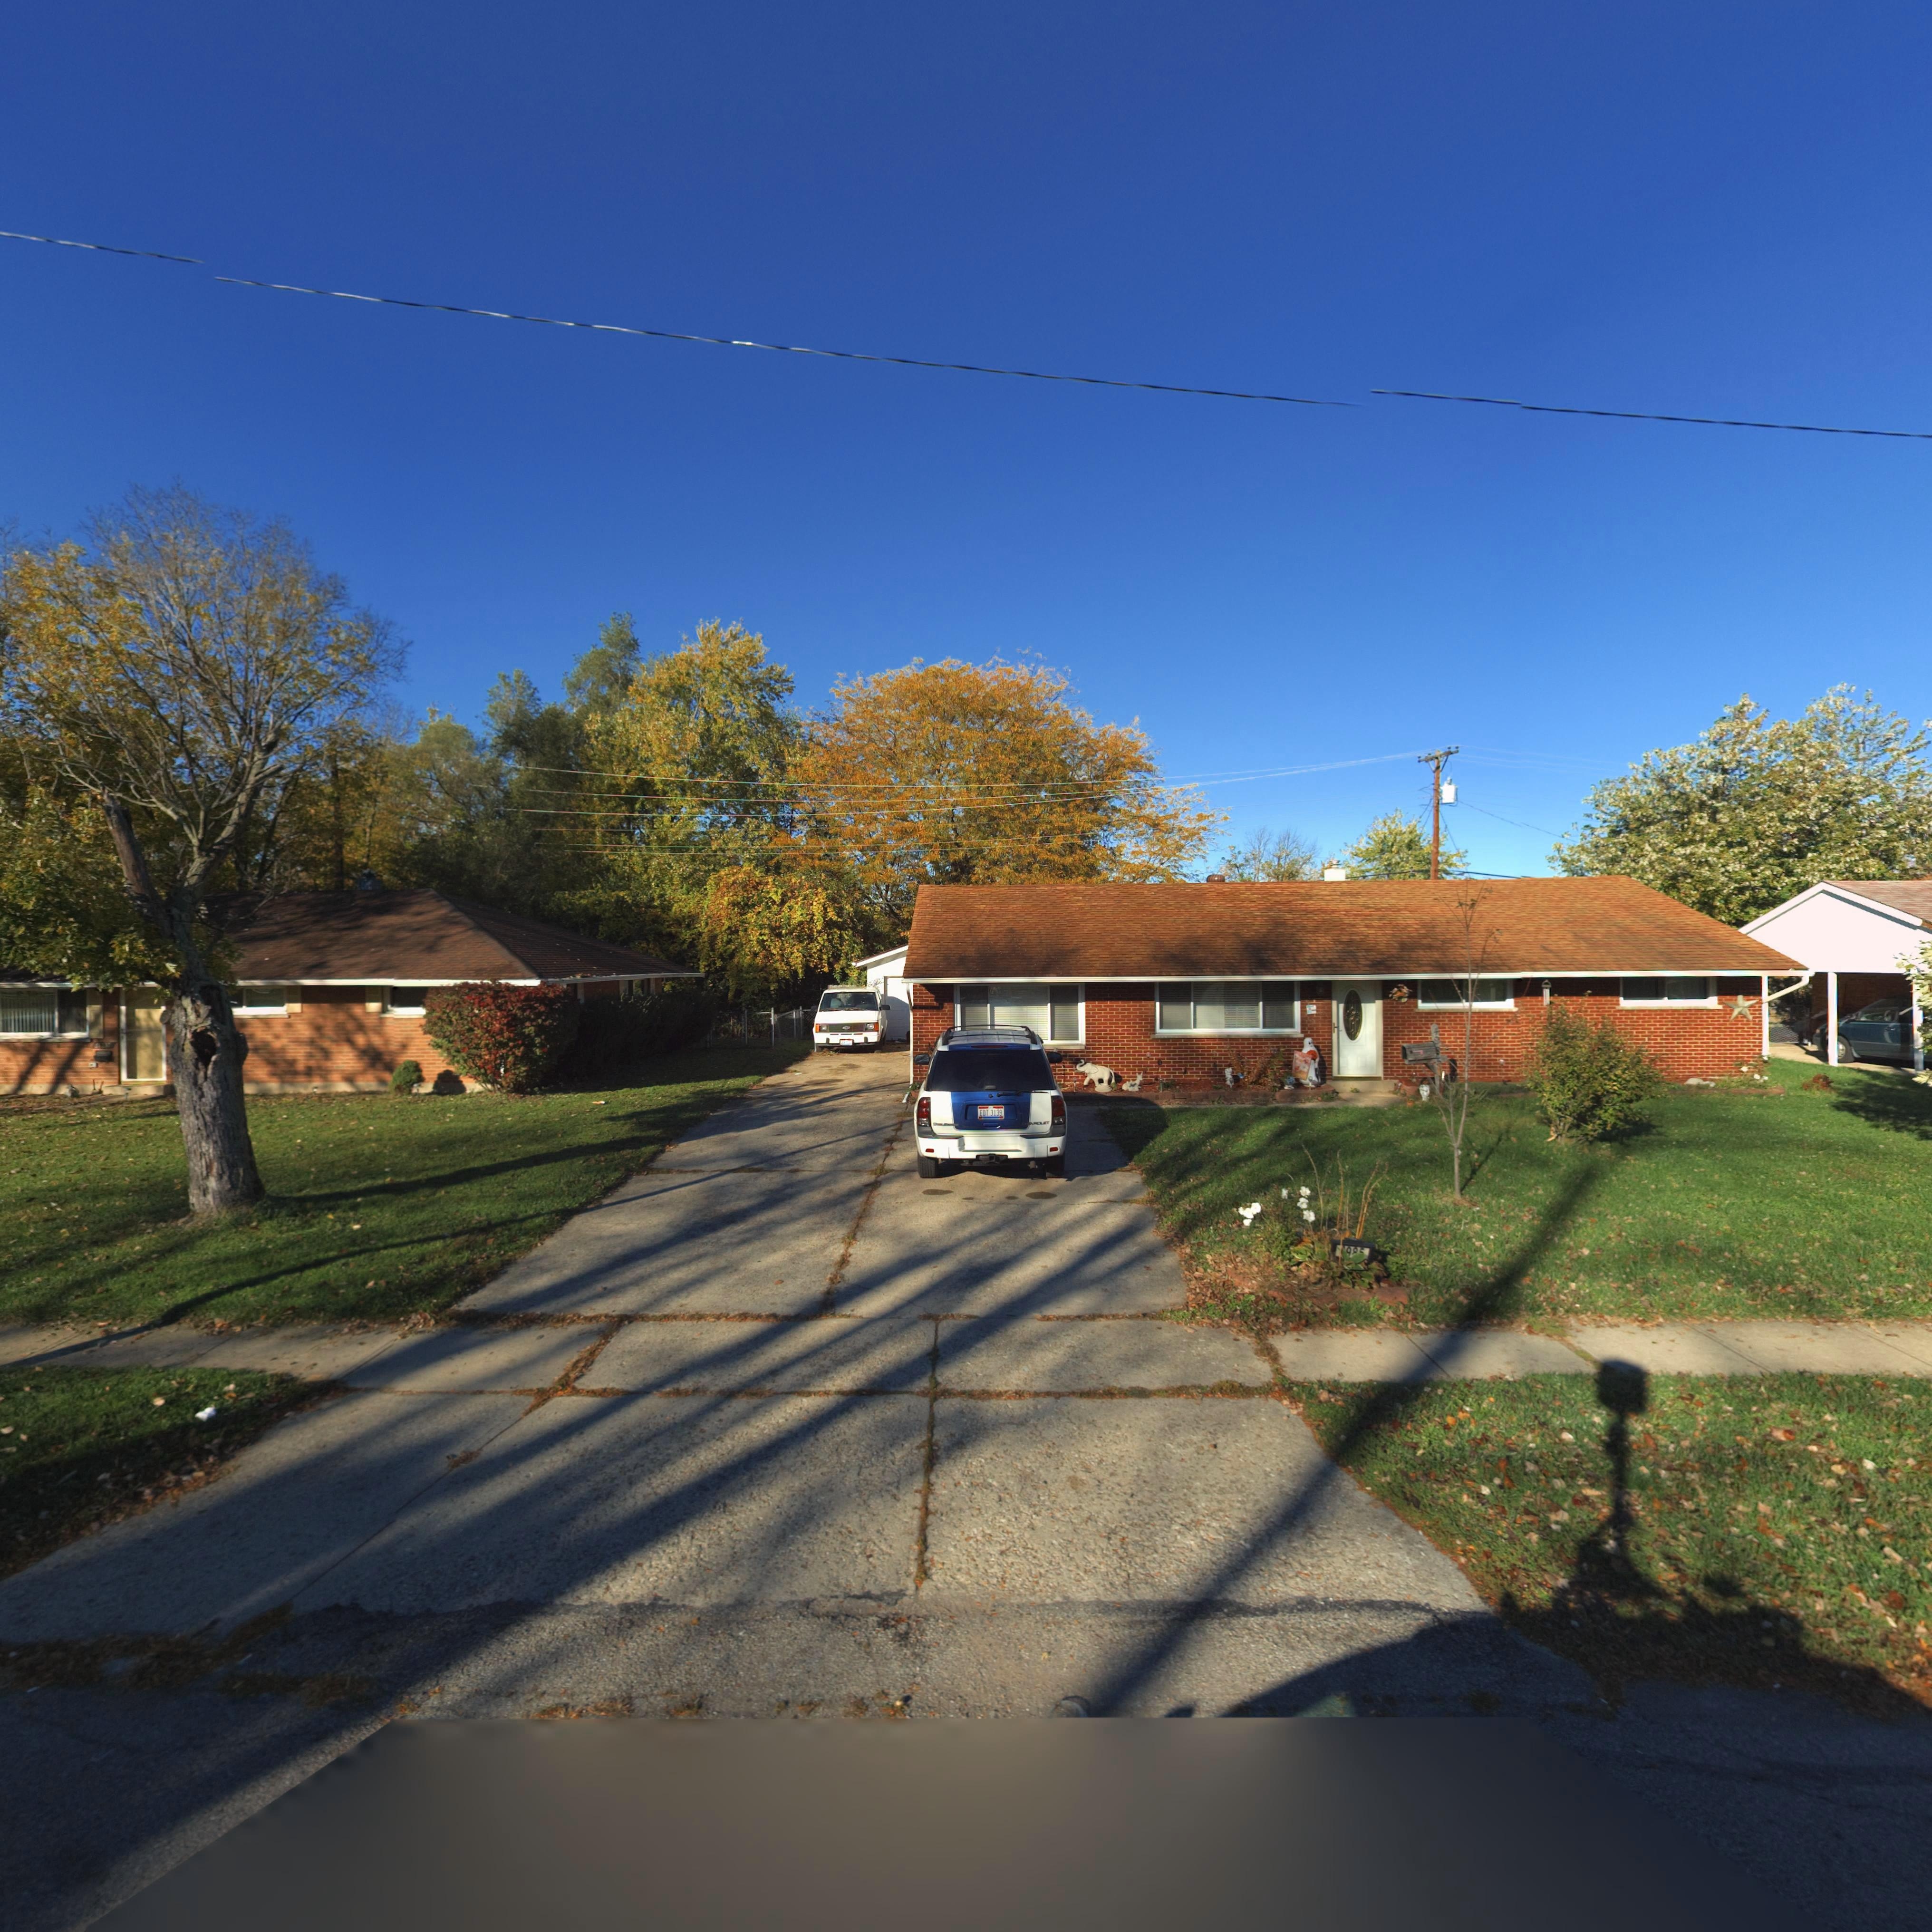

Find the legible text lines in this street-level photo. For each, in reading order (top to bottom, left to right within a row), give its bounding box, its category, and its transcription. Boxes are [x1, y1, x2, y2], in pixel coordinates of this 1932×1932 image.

[1340, 1246, 1365, 1259] StreetNumber: 4985